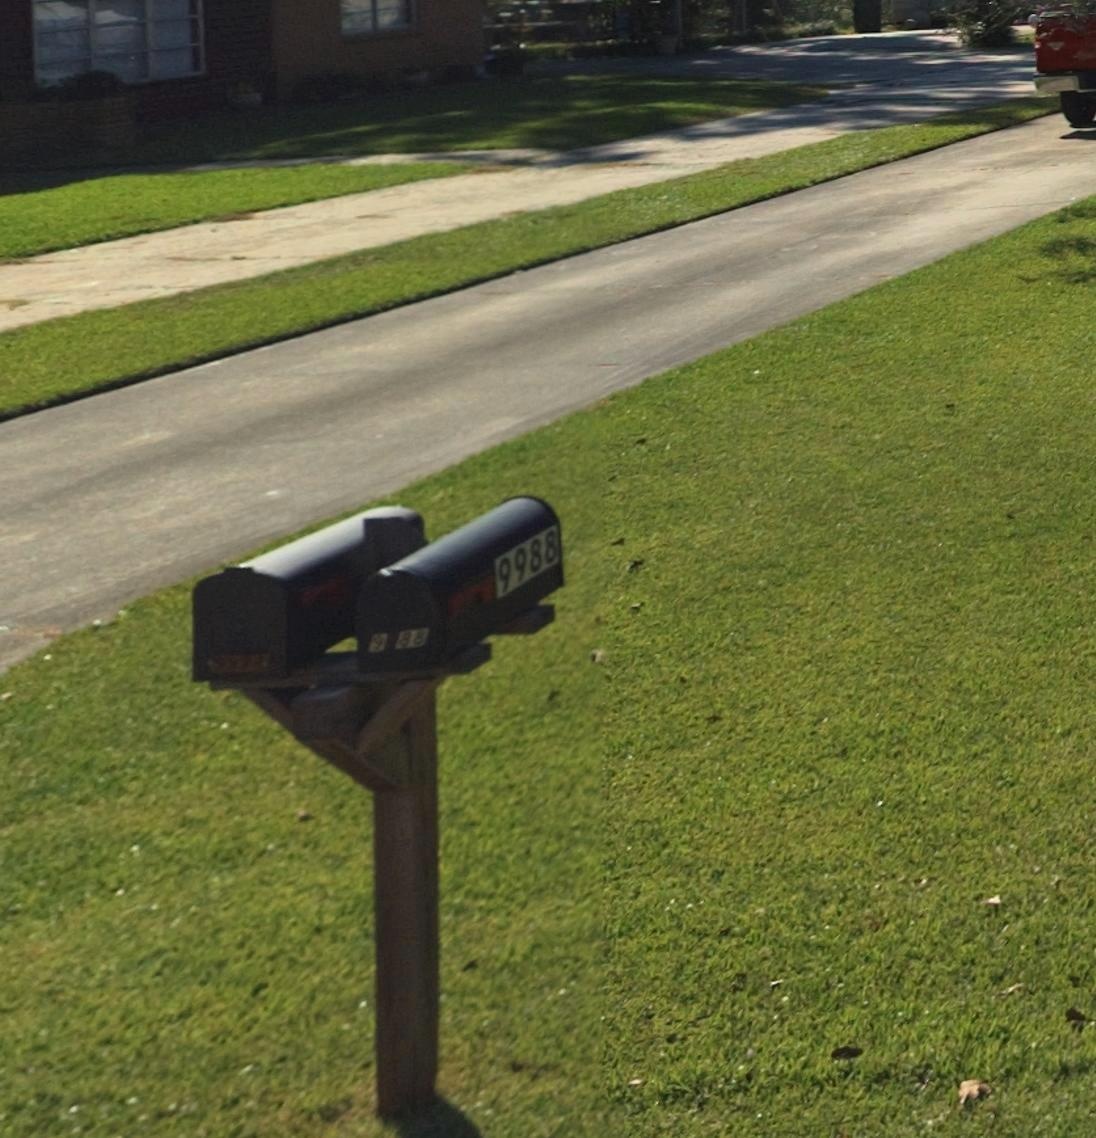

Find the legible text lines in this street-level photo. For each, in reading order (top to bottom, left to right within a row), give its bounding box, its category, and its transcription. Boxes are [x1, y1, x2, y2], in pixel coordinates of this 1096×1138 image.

[496, 527, 558, 599] StreetNumber: 9988
[369, 628, 432, 650] StreetNumber: 9 88